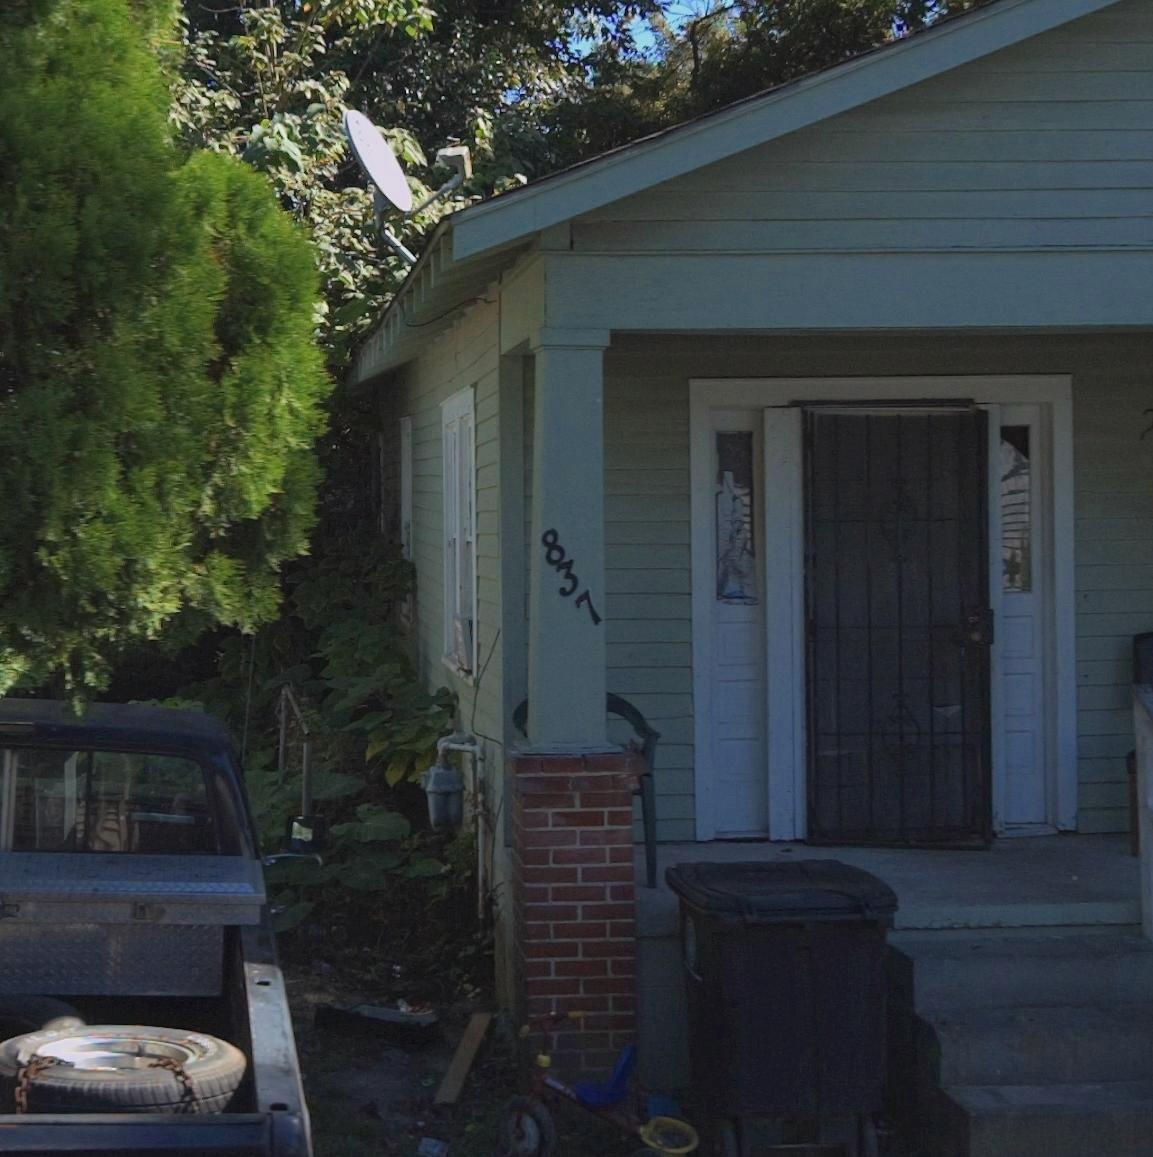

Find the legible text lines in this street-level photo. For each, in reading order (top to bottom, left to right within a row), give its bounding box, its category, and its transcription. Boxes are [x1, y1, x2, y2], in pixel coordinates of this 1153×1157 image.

[537, 522, 604, 629] StreetNumber: 837